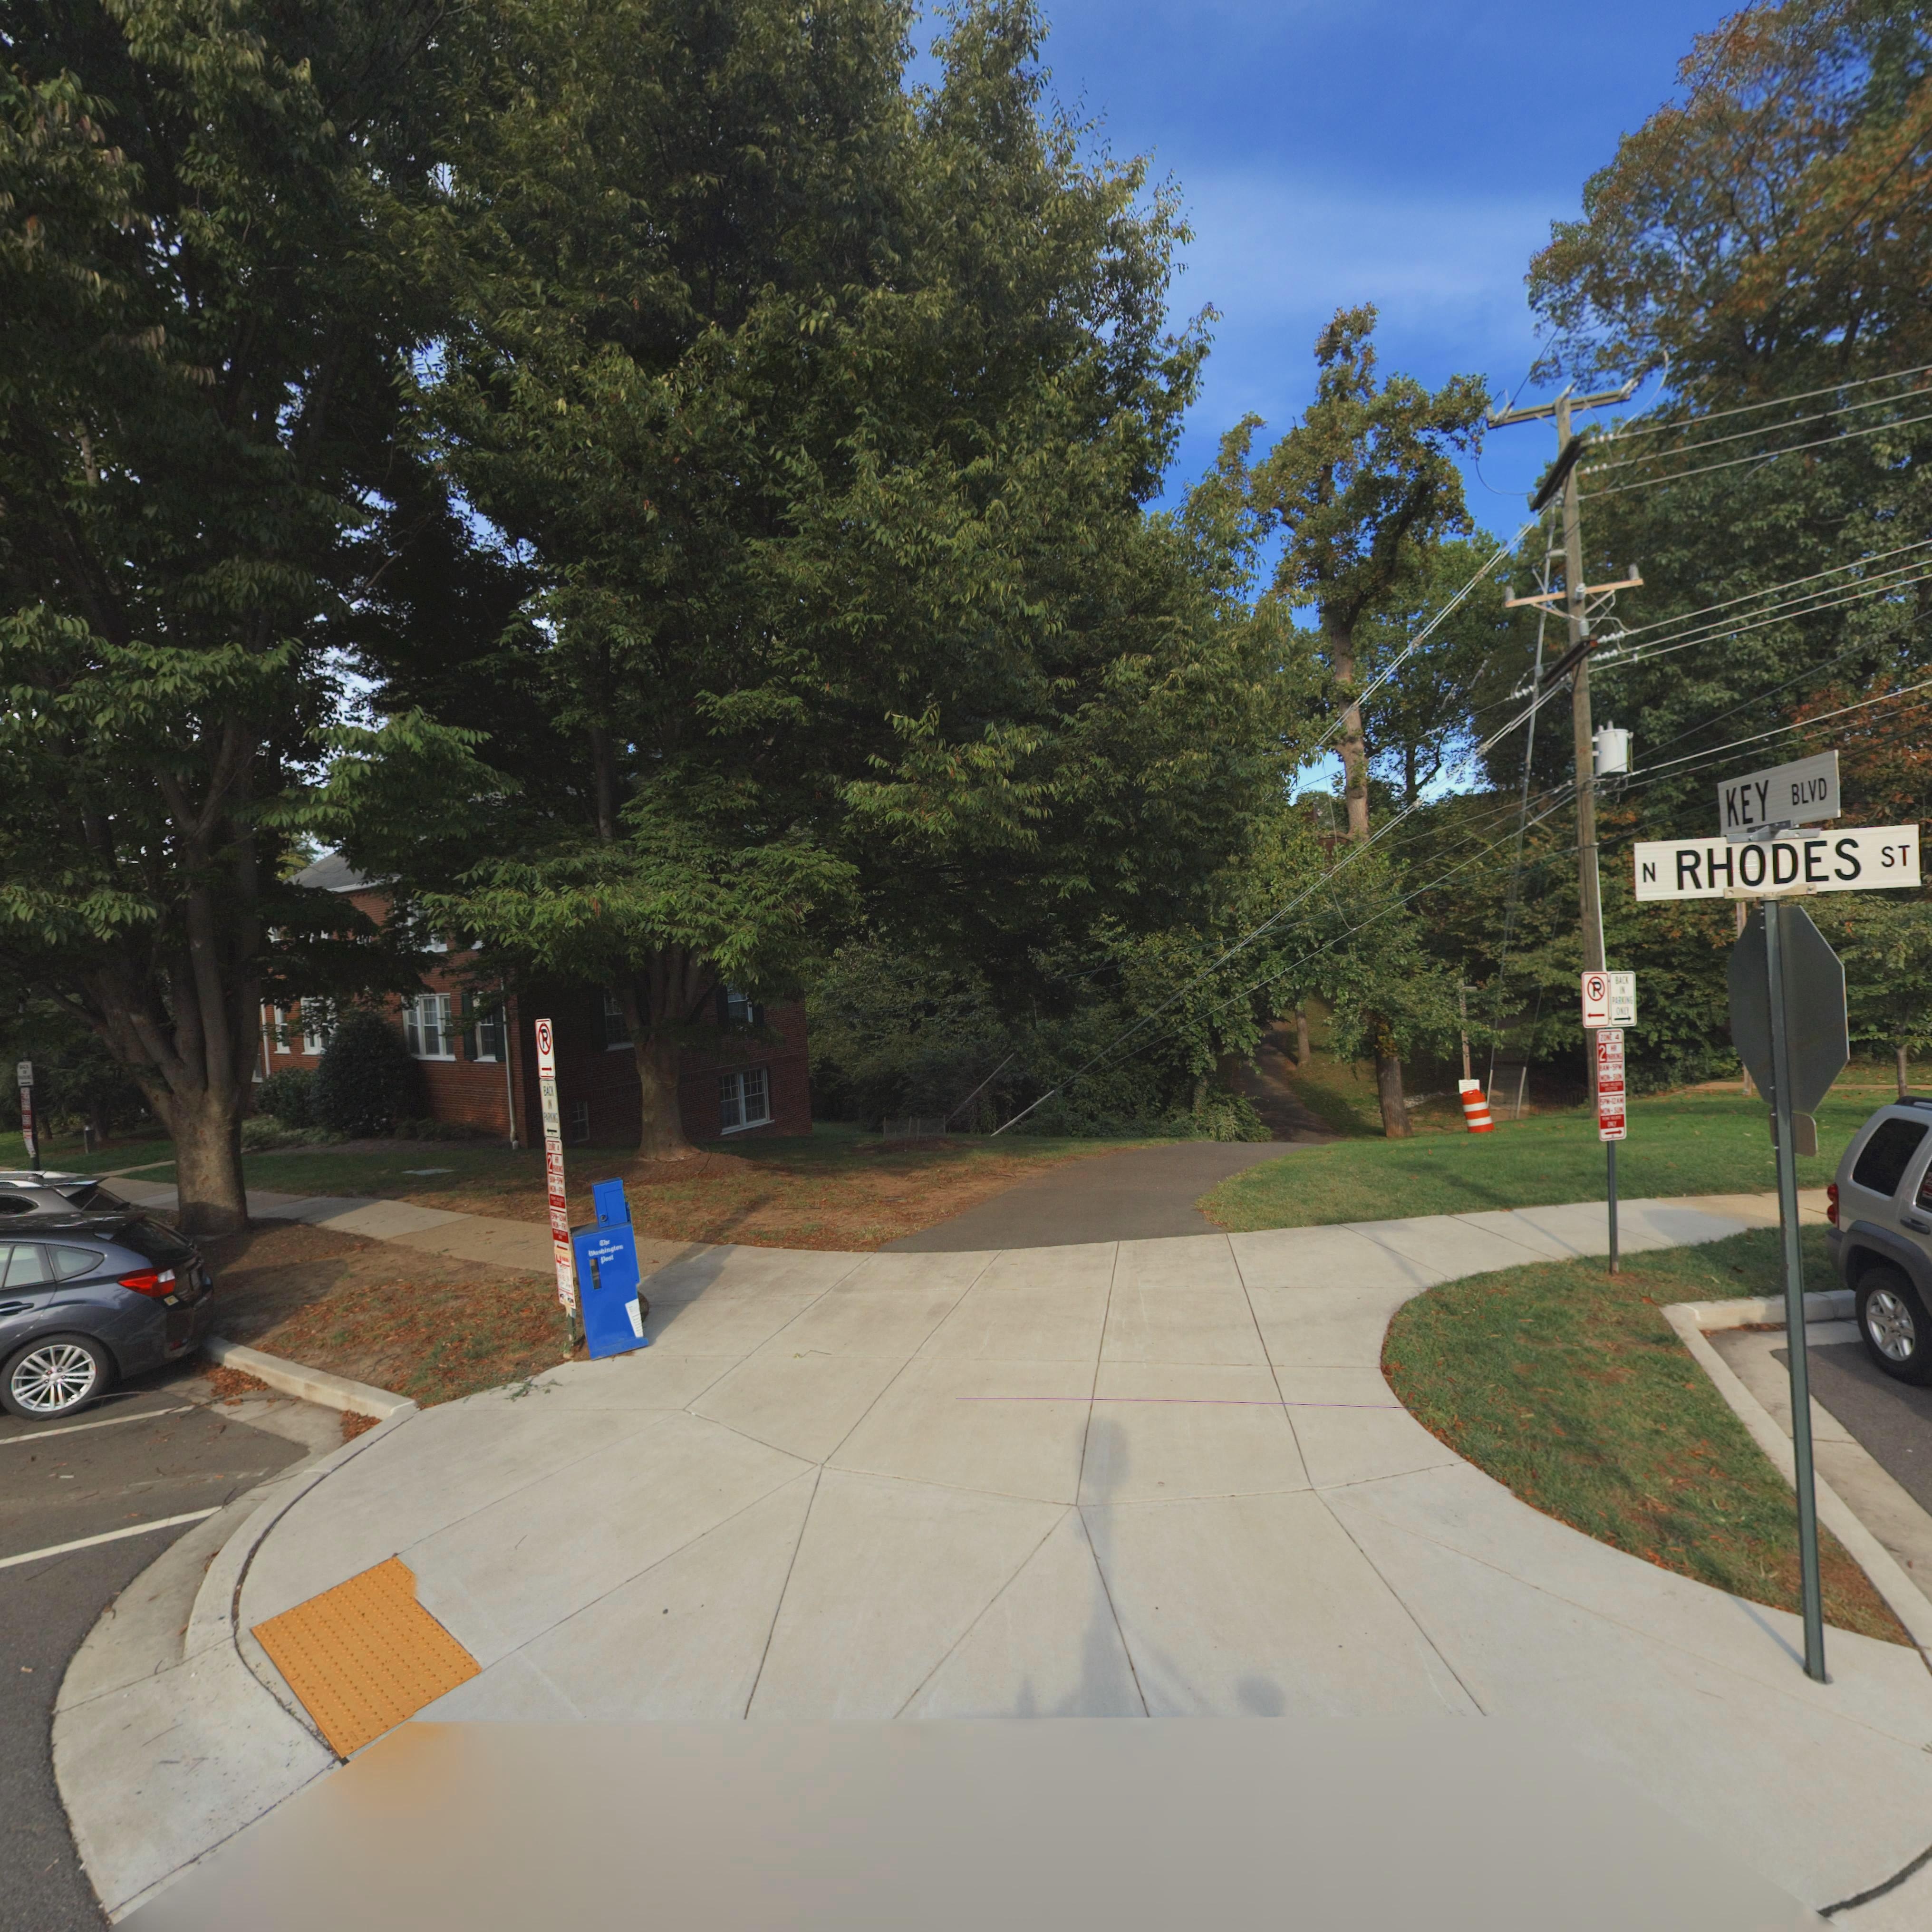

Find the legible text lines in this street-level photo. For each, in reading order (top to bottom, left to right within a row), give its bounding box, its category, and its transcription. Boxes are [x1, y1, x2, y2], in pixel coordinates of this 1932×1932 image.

[1718, 771, 1835, 831] StreetName: KEY BLVD
[1636, 829, 1919, 898] StreetName: N RHODES ST
[1614, 975, 1626, 985] None: BAC
[1619, 985, 1627, 995] None: IN
[1611, 995, 1634, 1006] None: PAR*
[1614, 1006, 1630, 1016] None: ONLY
[1599, 1033, 1621, 1042] None: ZO** 4
[1596, 1043, 1608, 1064] None: 2
[1598, 1063, 1620, 1073] None: 8A*-5P
[1603, 1073, 1617, 1082] None: O*-S
[542, 1085, 551, 1098] None: BA
[1599, 1096, 1622, 1106] None: 5P*-12A
[1603, 1106, 1618, 1116] None: O*-S
[546, 1153, 554, 1174] None: 2
[603, 1238, 611, 1247] None: he
[593, 1244, 624, 1256] None: ashington
[599, 1252, 616, 1266] None: Post